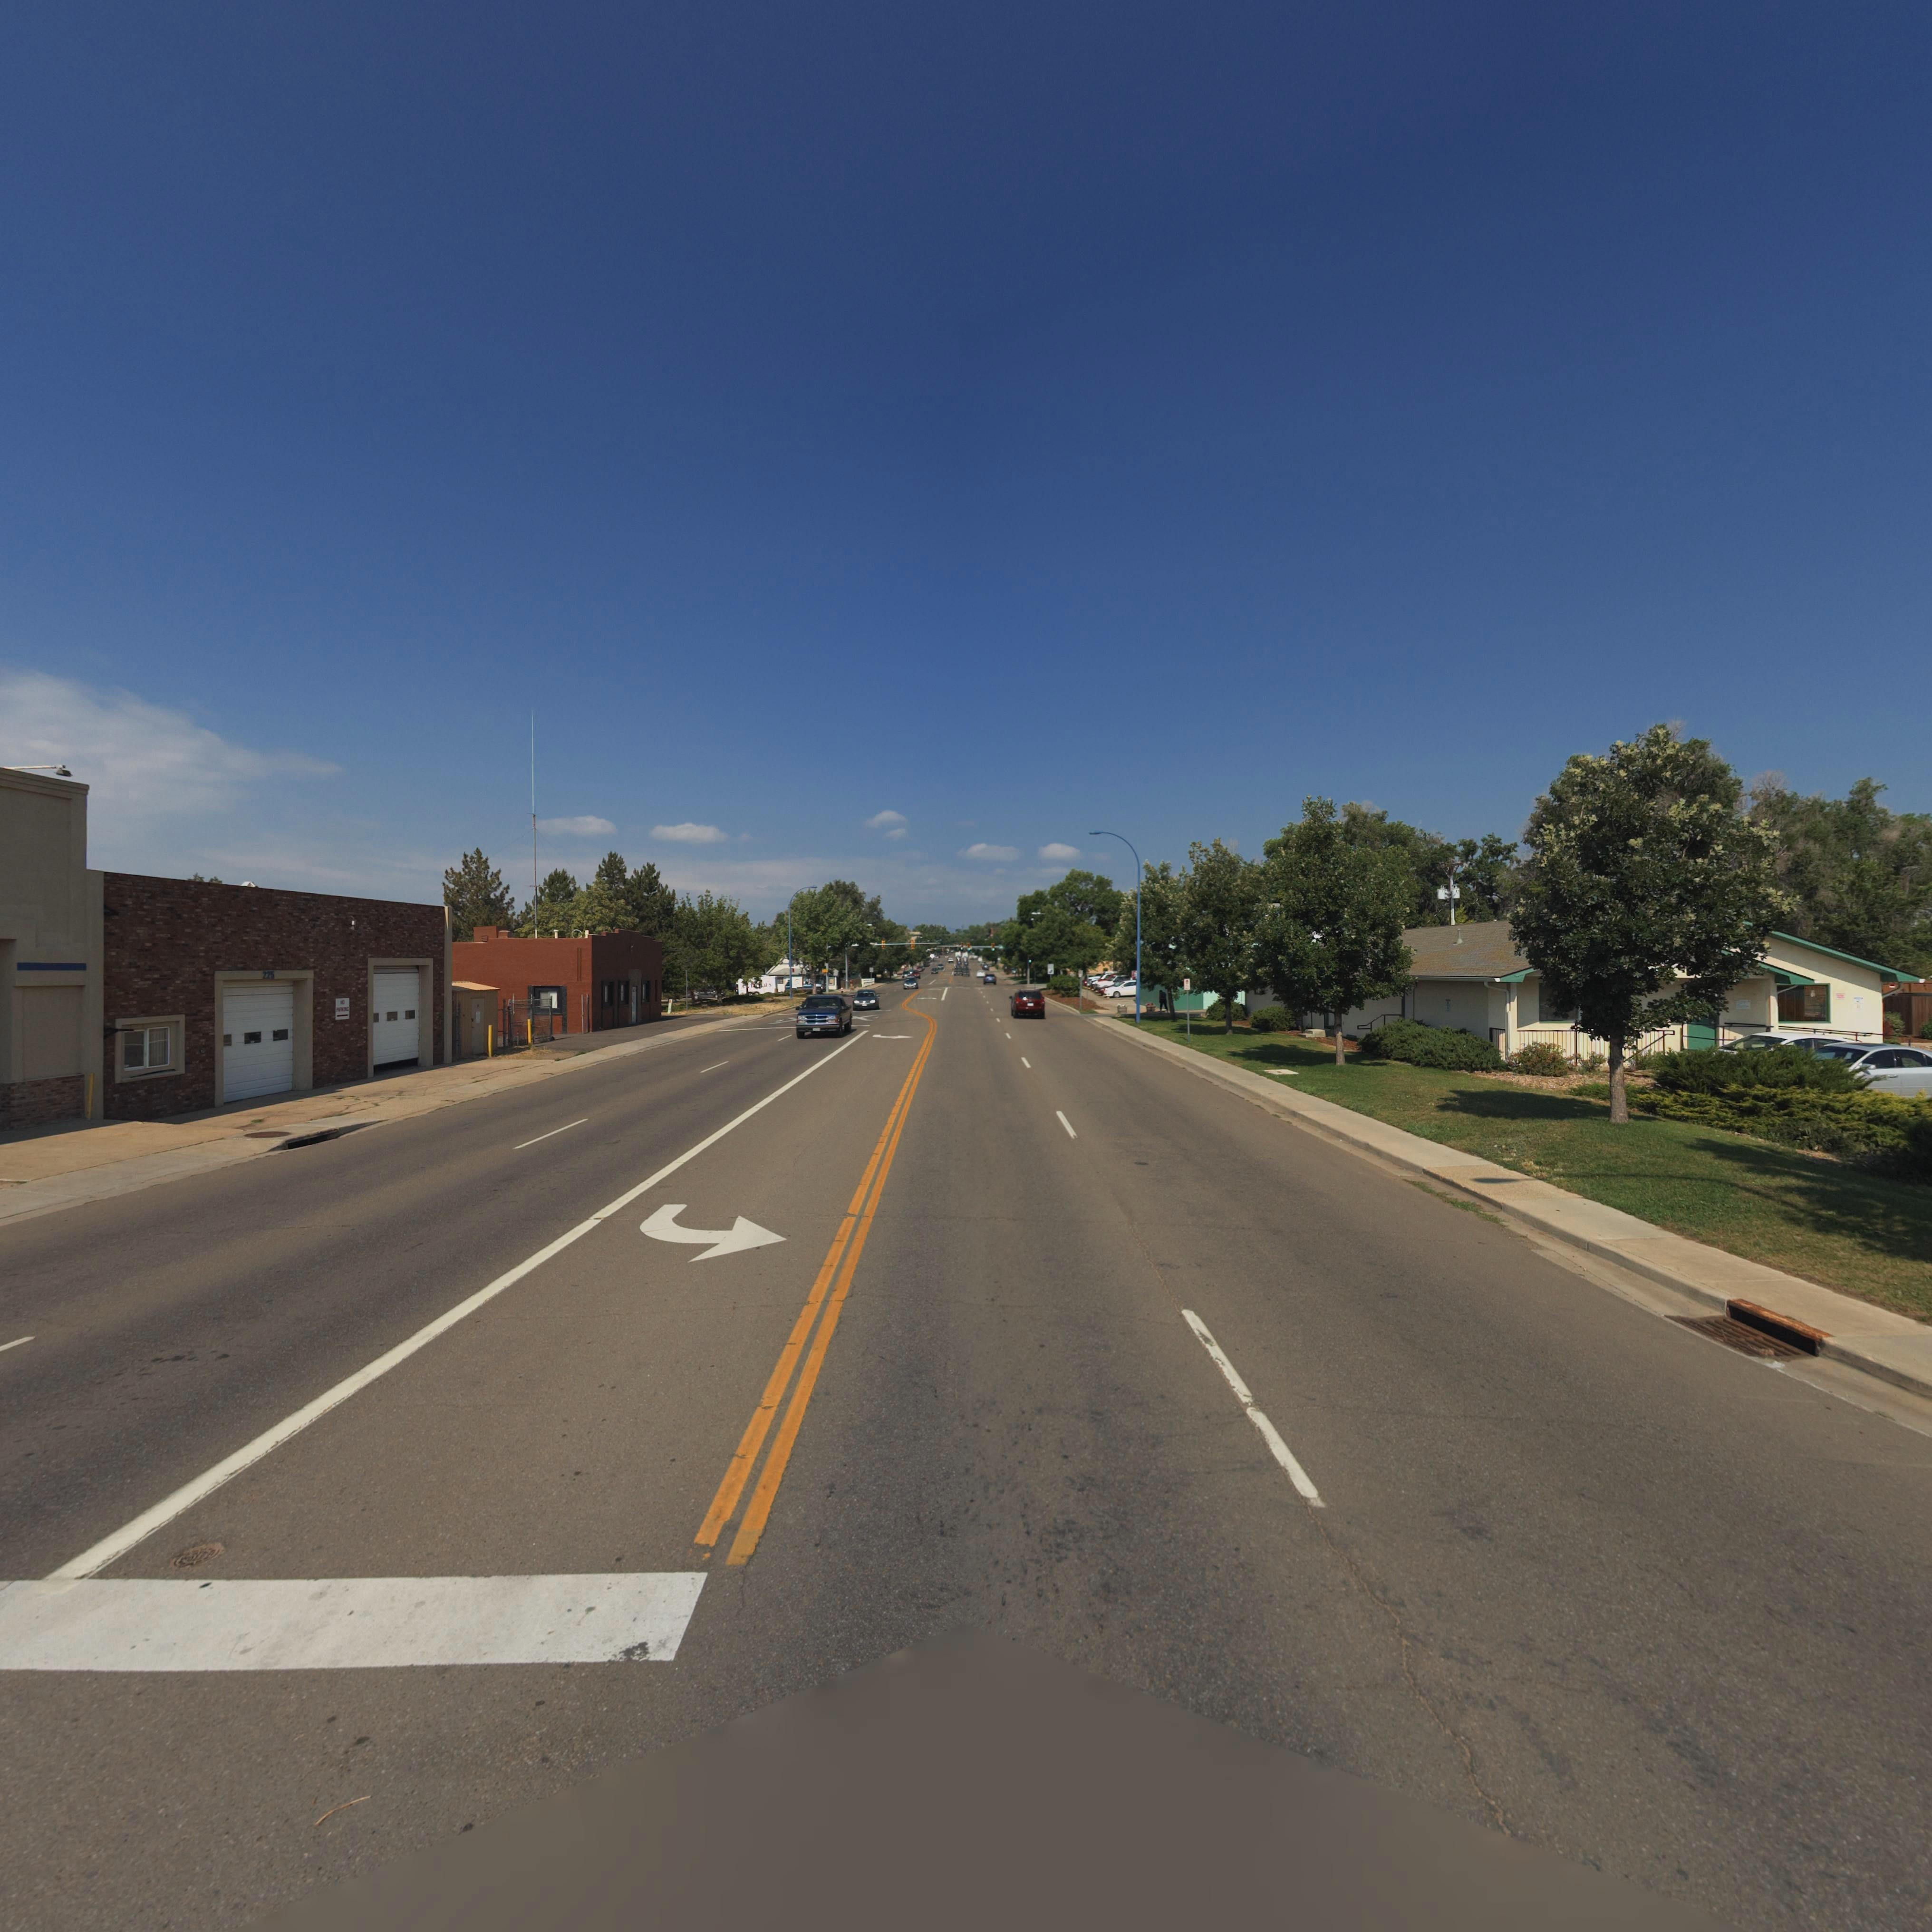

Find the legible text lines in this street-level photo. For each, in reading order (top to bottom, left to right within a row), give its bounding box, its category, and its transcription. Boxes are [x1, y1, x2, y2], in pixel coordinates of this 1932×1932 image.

[261, 970, 275, 979] StreetNumber: 225